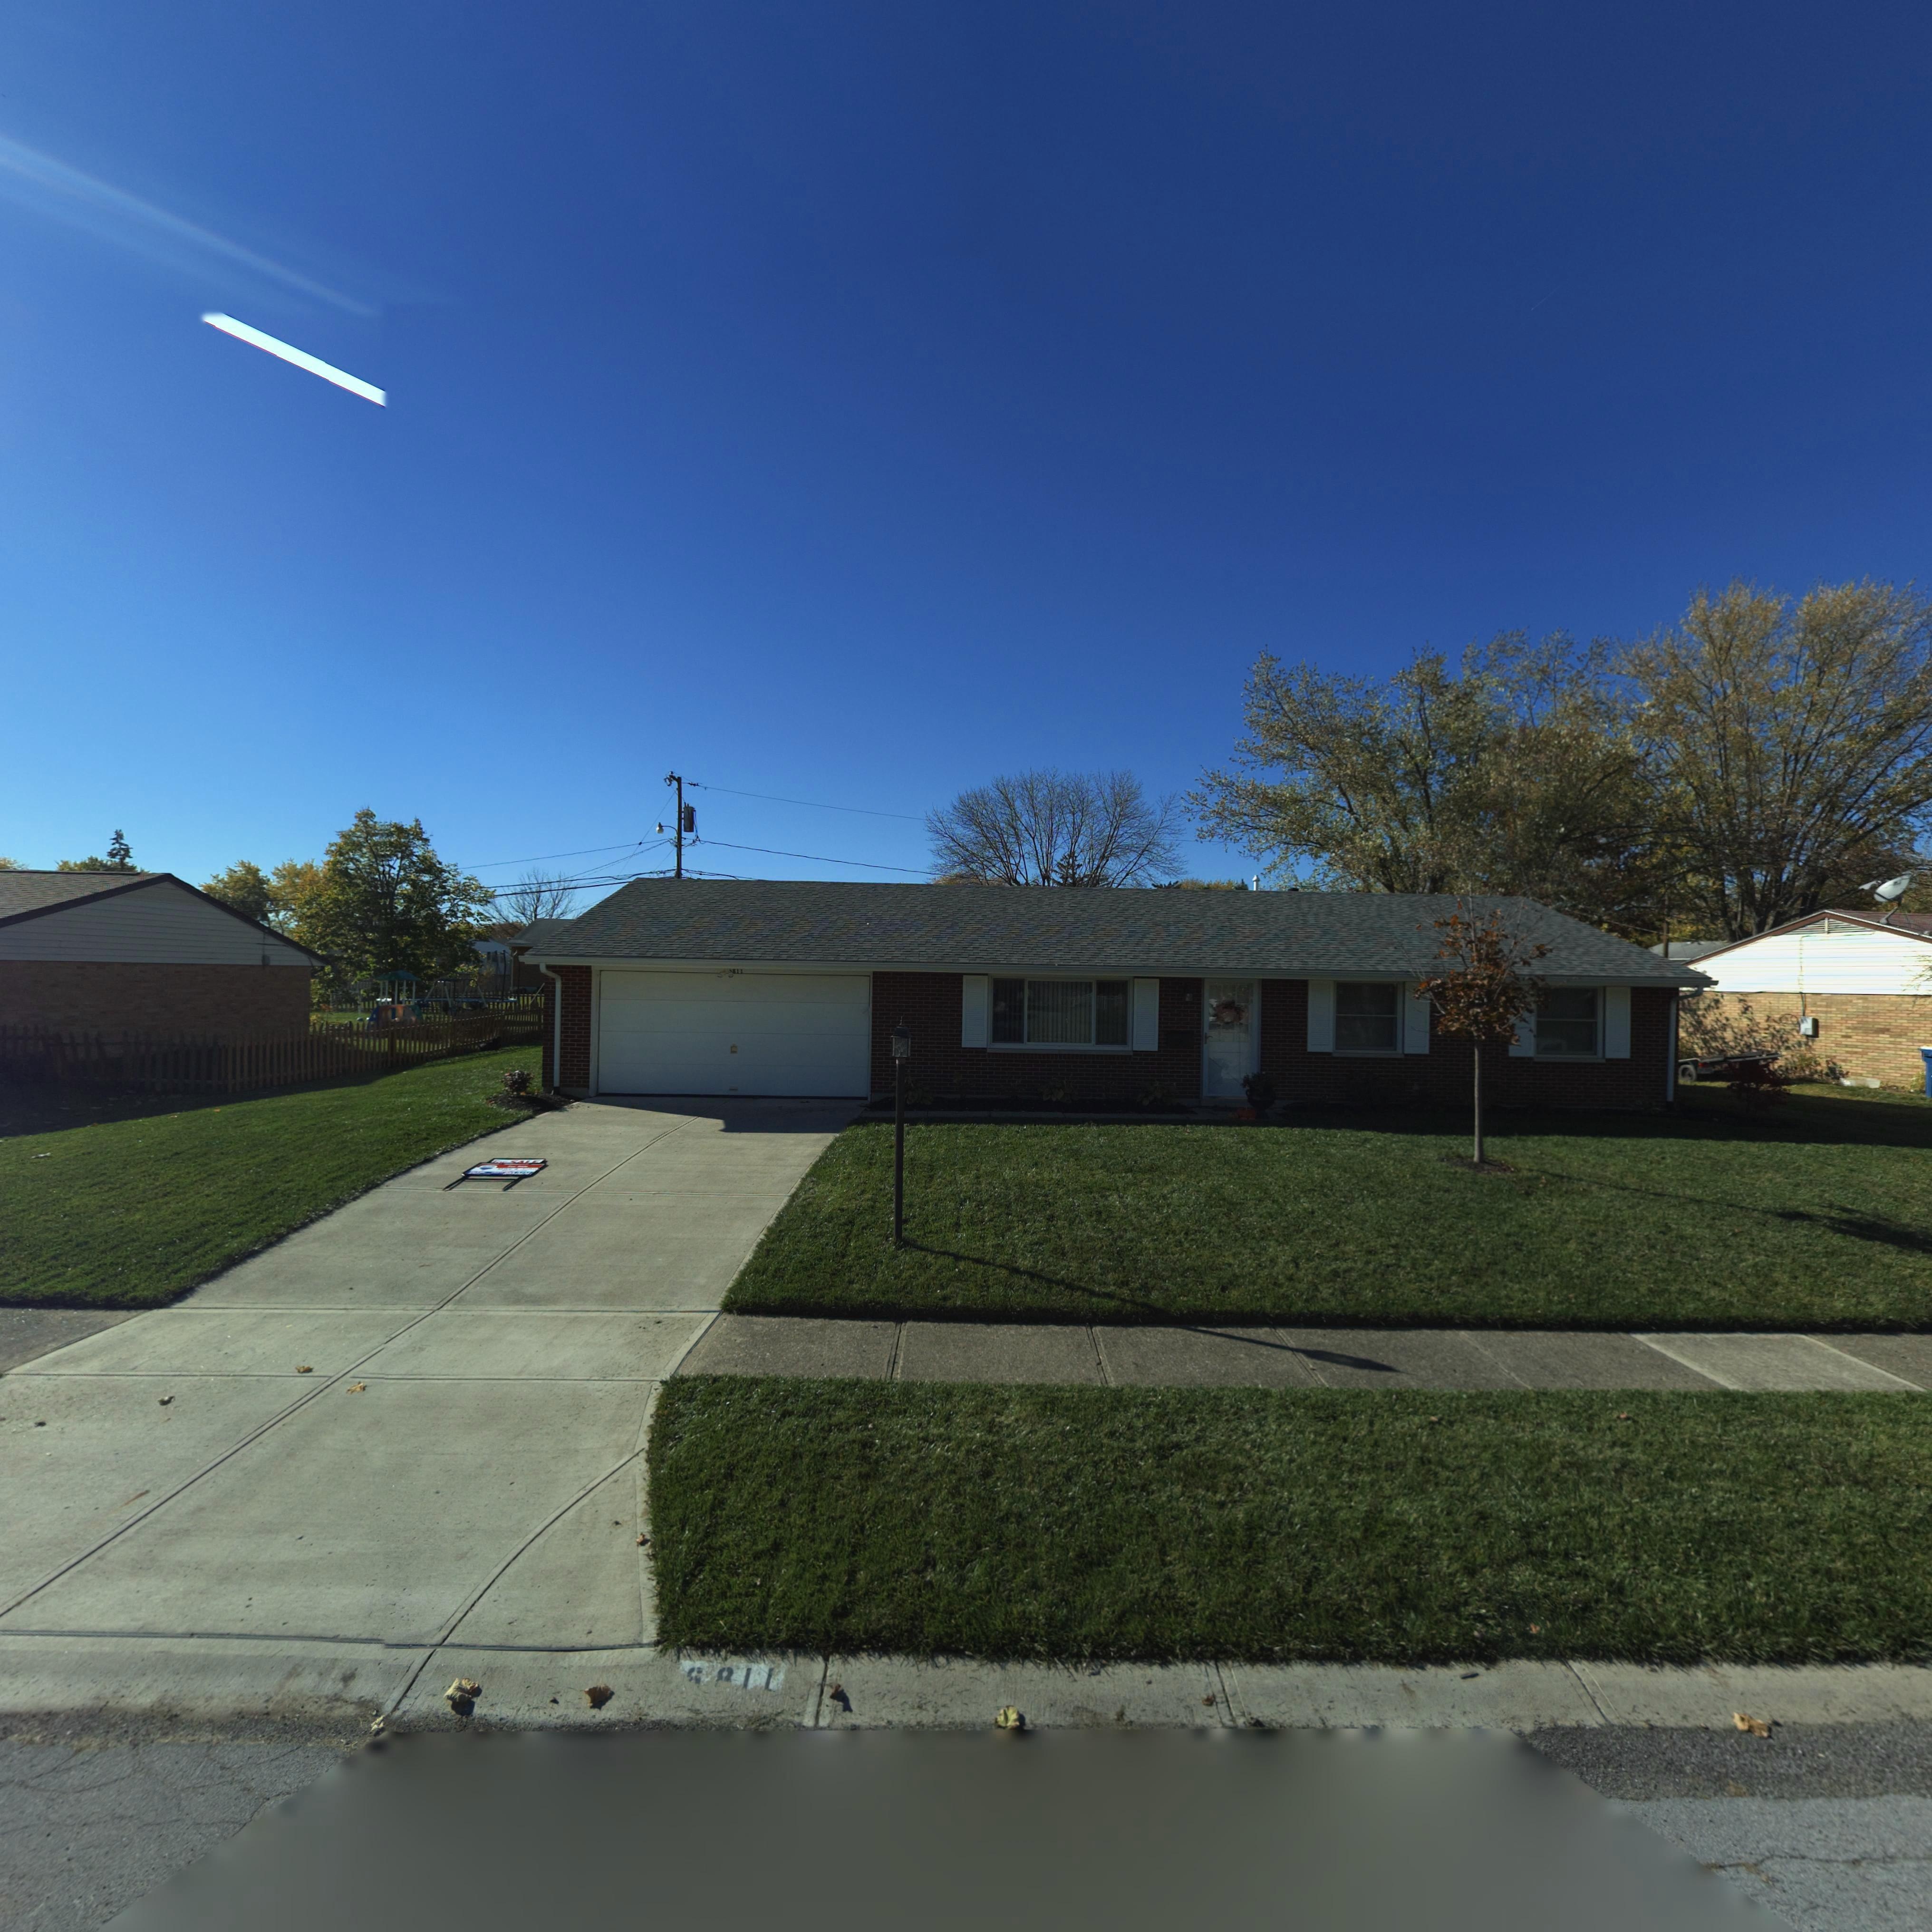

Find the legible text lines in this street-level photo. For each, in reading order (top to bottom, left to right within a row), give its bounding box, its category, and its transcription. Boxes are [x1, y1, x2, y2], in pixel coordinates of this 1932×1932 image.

[732, 968, 743, 974] StreetNumber: 811
[681, 1666, 778, 1693] StreetNumber: **11